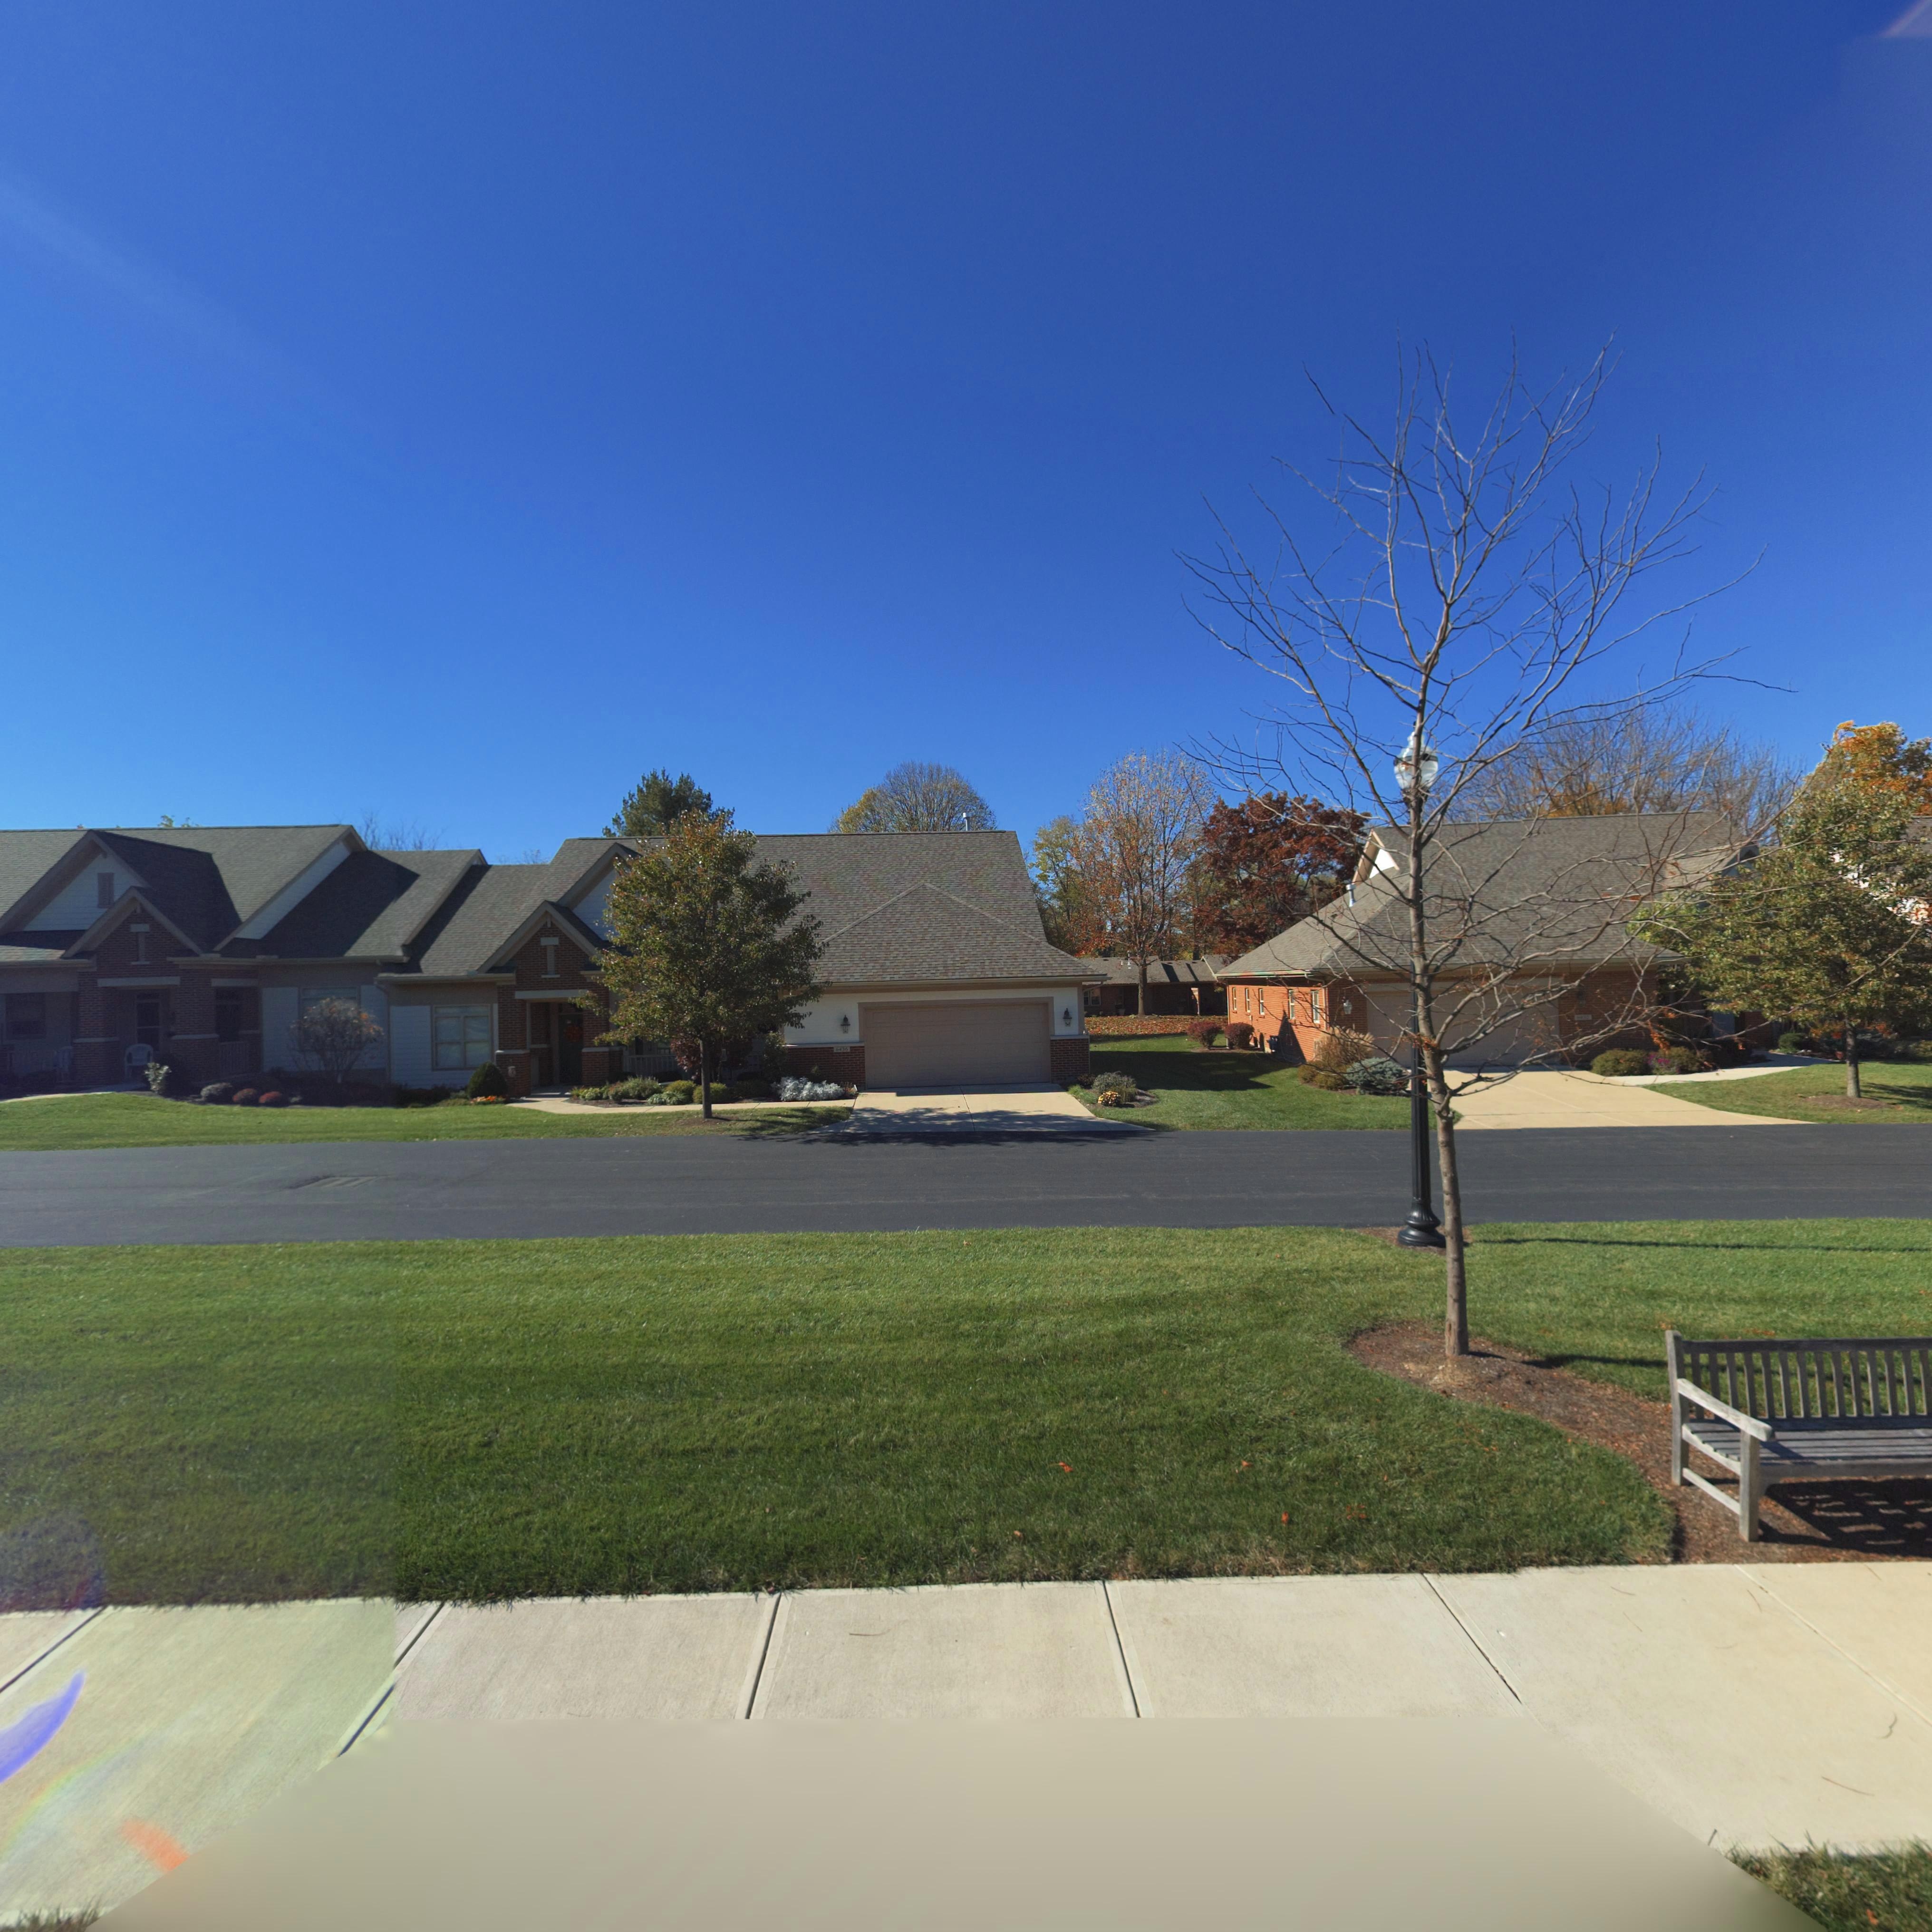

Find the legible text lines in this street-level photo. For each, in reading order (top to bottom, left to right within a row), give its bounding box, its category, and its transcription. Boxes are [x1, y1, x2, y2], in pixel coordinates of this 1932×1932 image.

[834, 1046, 849, 1053] StreetNumber: *436